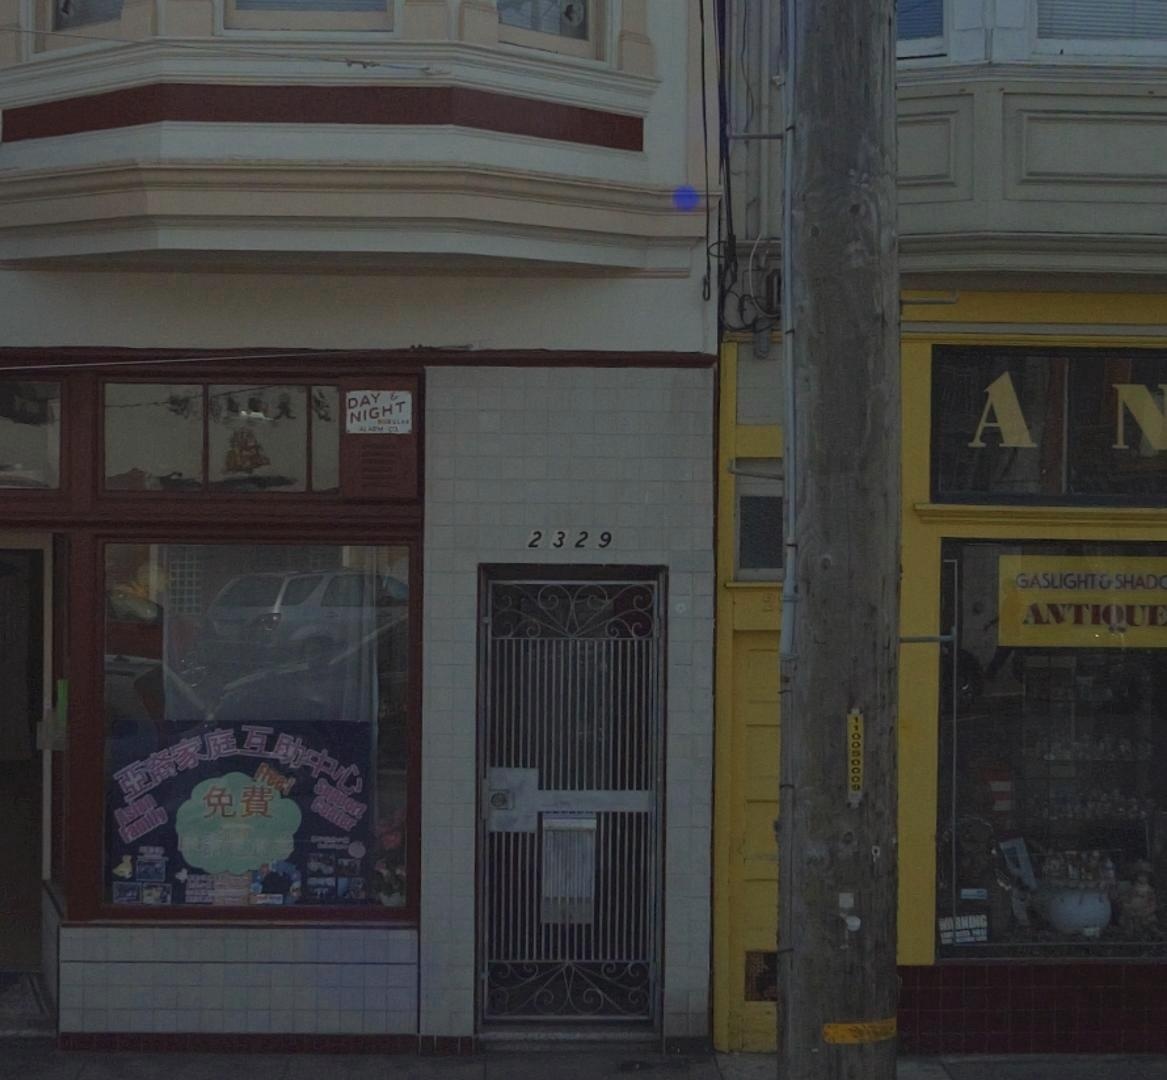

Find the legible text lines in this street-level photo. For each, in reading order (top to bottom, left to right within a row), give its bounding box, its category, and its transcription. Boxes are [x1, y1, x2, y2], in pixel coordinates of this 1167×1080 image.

[347, 390, 383, 411] None: DAY
[349, 399, 409, 425] None: NIGHT
[963, 363, 1045, 451] None: A
[526, 529, 614, 550] StreetNumber: 2329
[1013, 568, 1162, 593] BusinessName: GASLIGHT & SHAD
[1018, 599, 1149, 635] BusinessName: ANTIQU
[847, 711, 863, 785] None: 11005000
[252, 759, 290, 794] None: Free
[112, 791, 159, 830] None: Asian
[117, 802, 171, 847] None: Family
[309, 793, 359, 834] None: Center
[313, 776, 370, 820] None: Support
[959, 912, 989, 931] None: NING